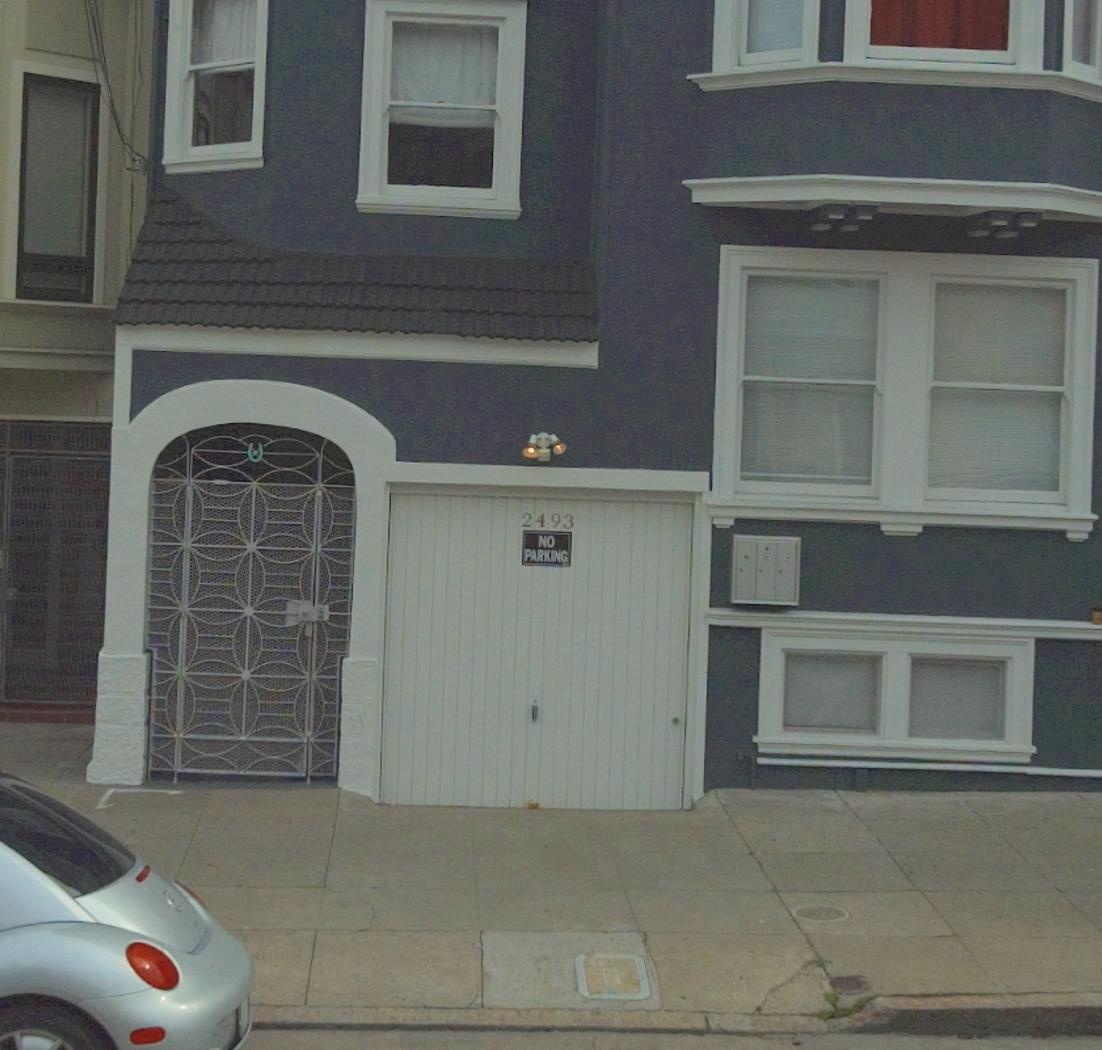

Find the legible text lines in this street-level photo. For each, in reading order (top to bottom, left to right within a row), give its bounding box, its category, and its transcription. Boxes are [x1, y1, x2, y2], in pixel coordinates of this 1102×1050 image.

[521, 511, 575, 529] StreetNumber: 2493
[537, 535, 556, 548] None: NO
[523, 548, 570, 564] None: PARKING